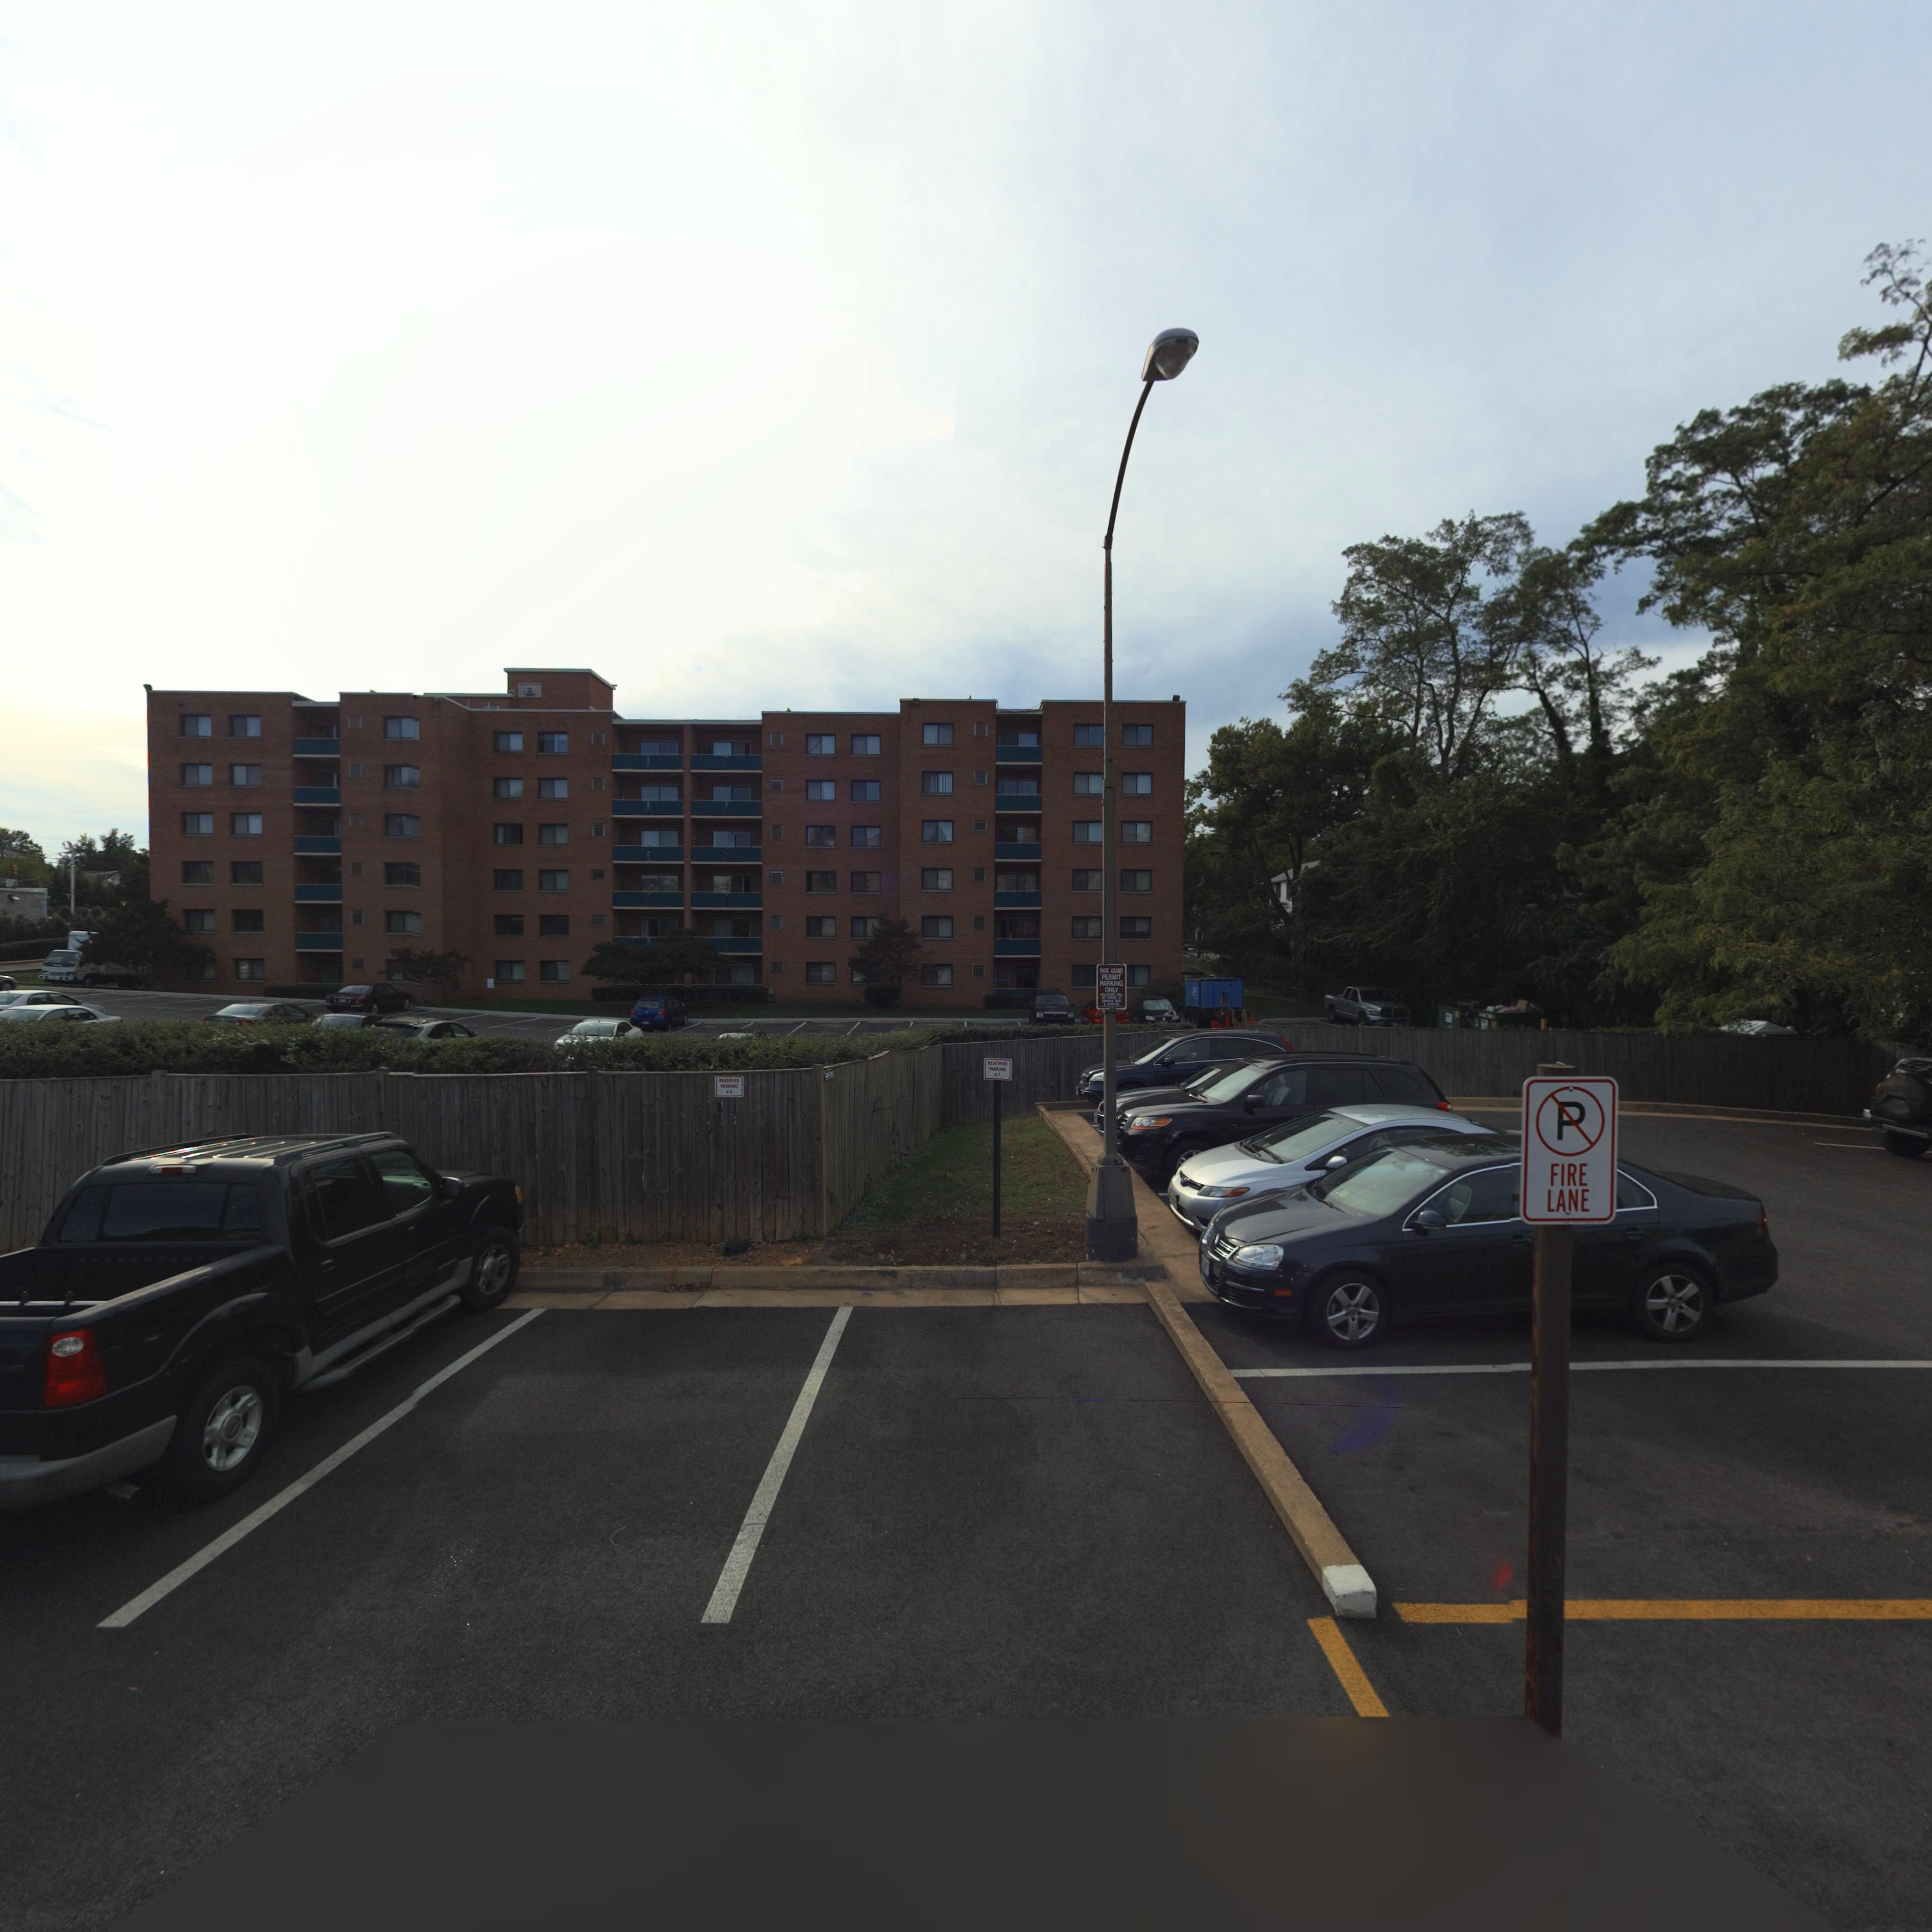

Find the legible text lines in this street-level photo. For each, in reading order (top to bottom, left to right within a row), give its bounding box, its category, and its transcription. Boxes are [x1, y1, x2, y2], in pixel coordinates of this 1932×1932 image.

[1099, 967, 1124, 973] None: PARK ADAMS
[1100, 973, 1121, 979] None: PERMIT
[1099, 980, 1124, 987] None: PARKING
[1104, 987, 1119, 994] None: ONLY
[987, 1060, 1008, 1066] None: RESERVED
[988, 1066, 1007, 1072] None: PARKING
[719, 1078, 740, 1083] None: RESERVED
[720, 1083, 738, 1089] None: PARKING
[1549, 1163, 1589, 1187] None: FIRE
[1546, 1188, 1591, 1212] None: LANE